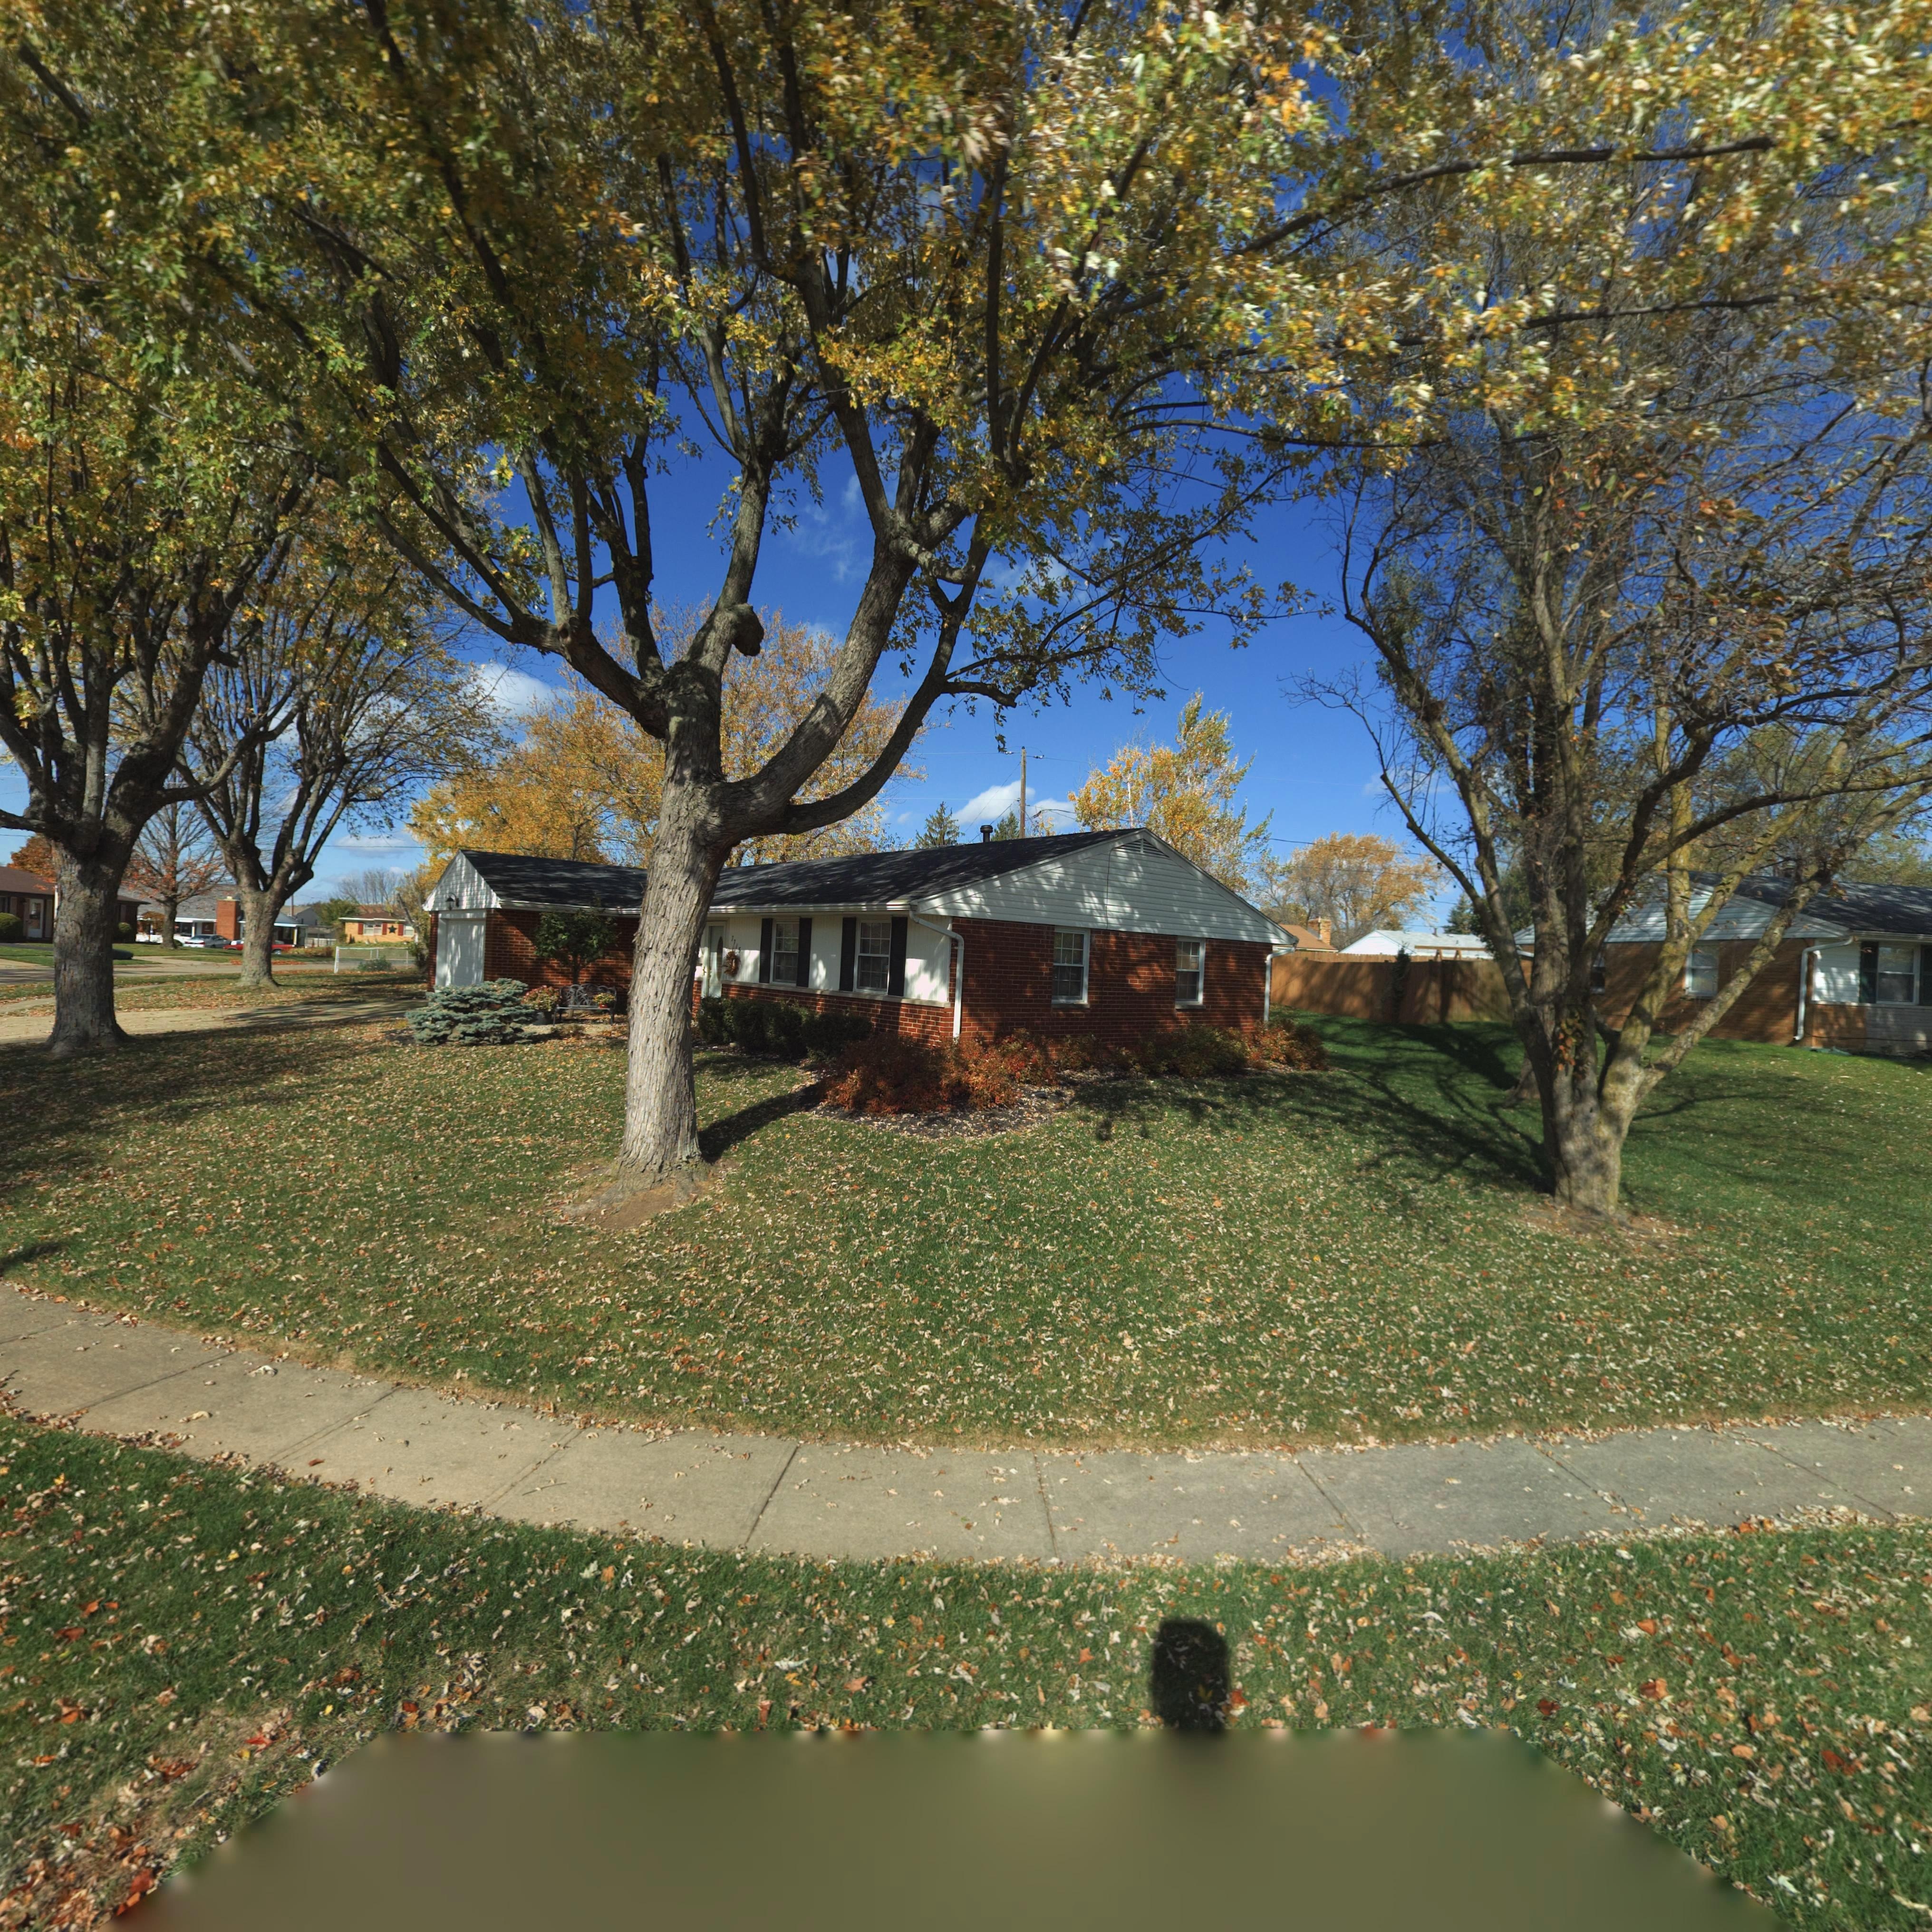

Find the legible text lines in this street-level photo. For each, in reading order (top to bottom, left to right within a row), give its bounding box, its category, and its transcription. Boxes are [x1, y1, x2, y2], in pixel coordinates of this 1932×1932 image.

[731, 935, 742, 954] StreetNumber: 7715